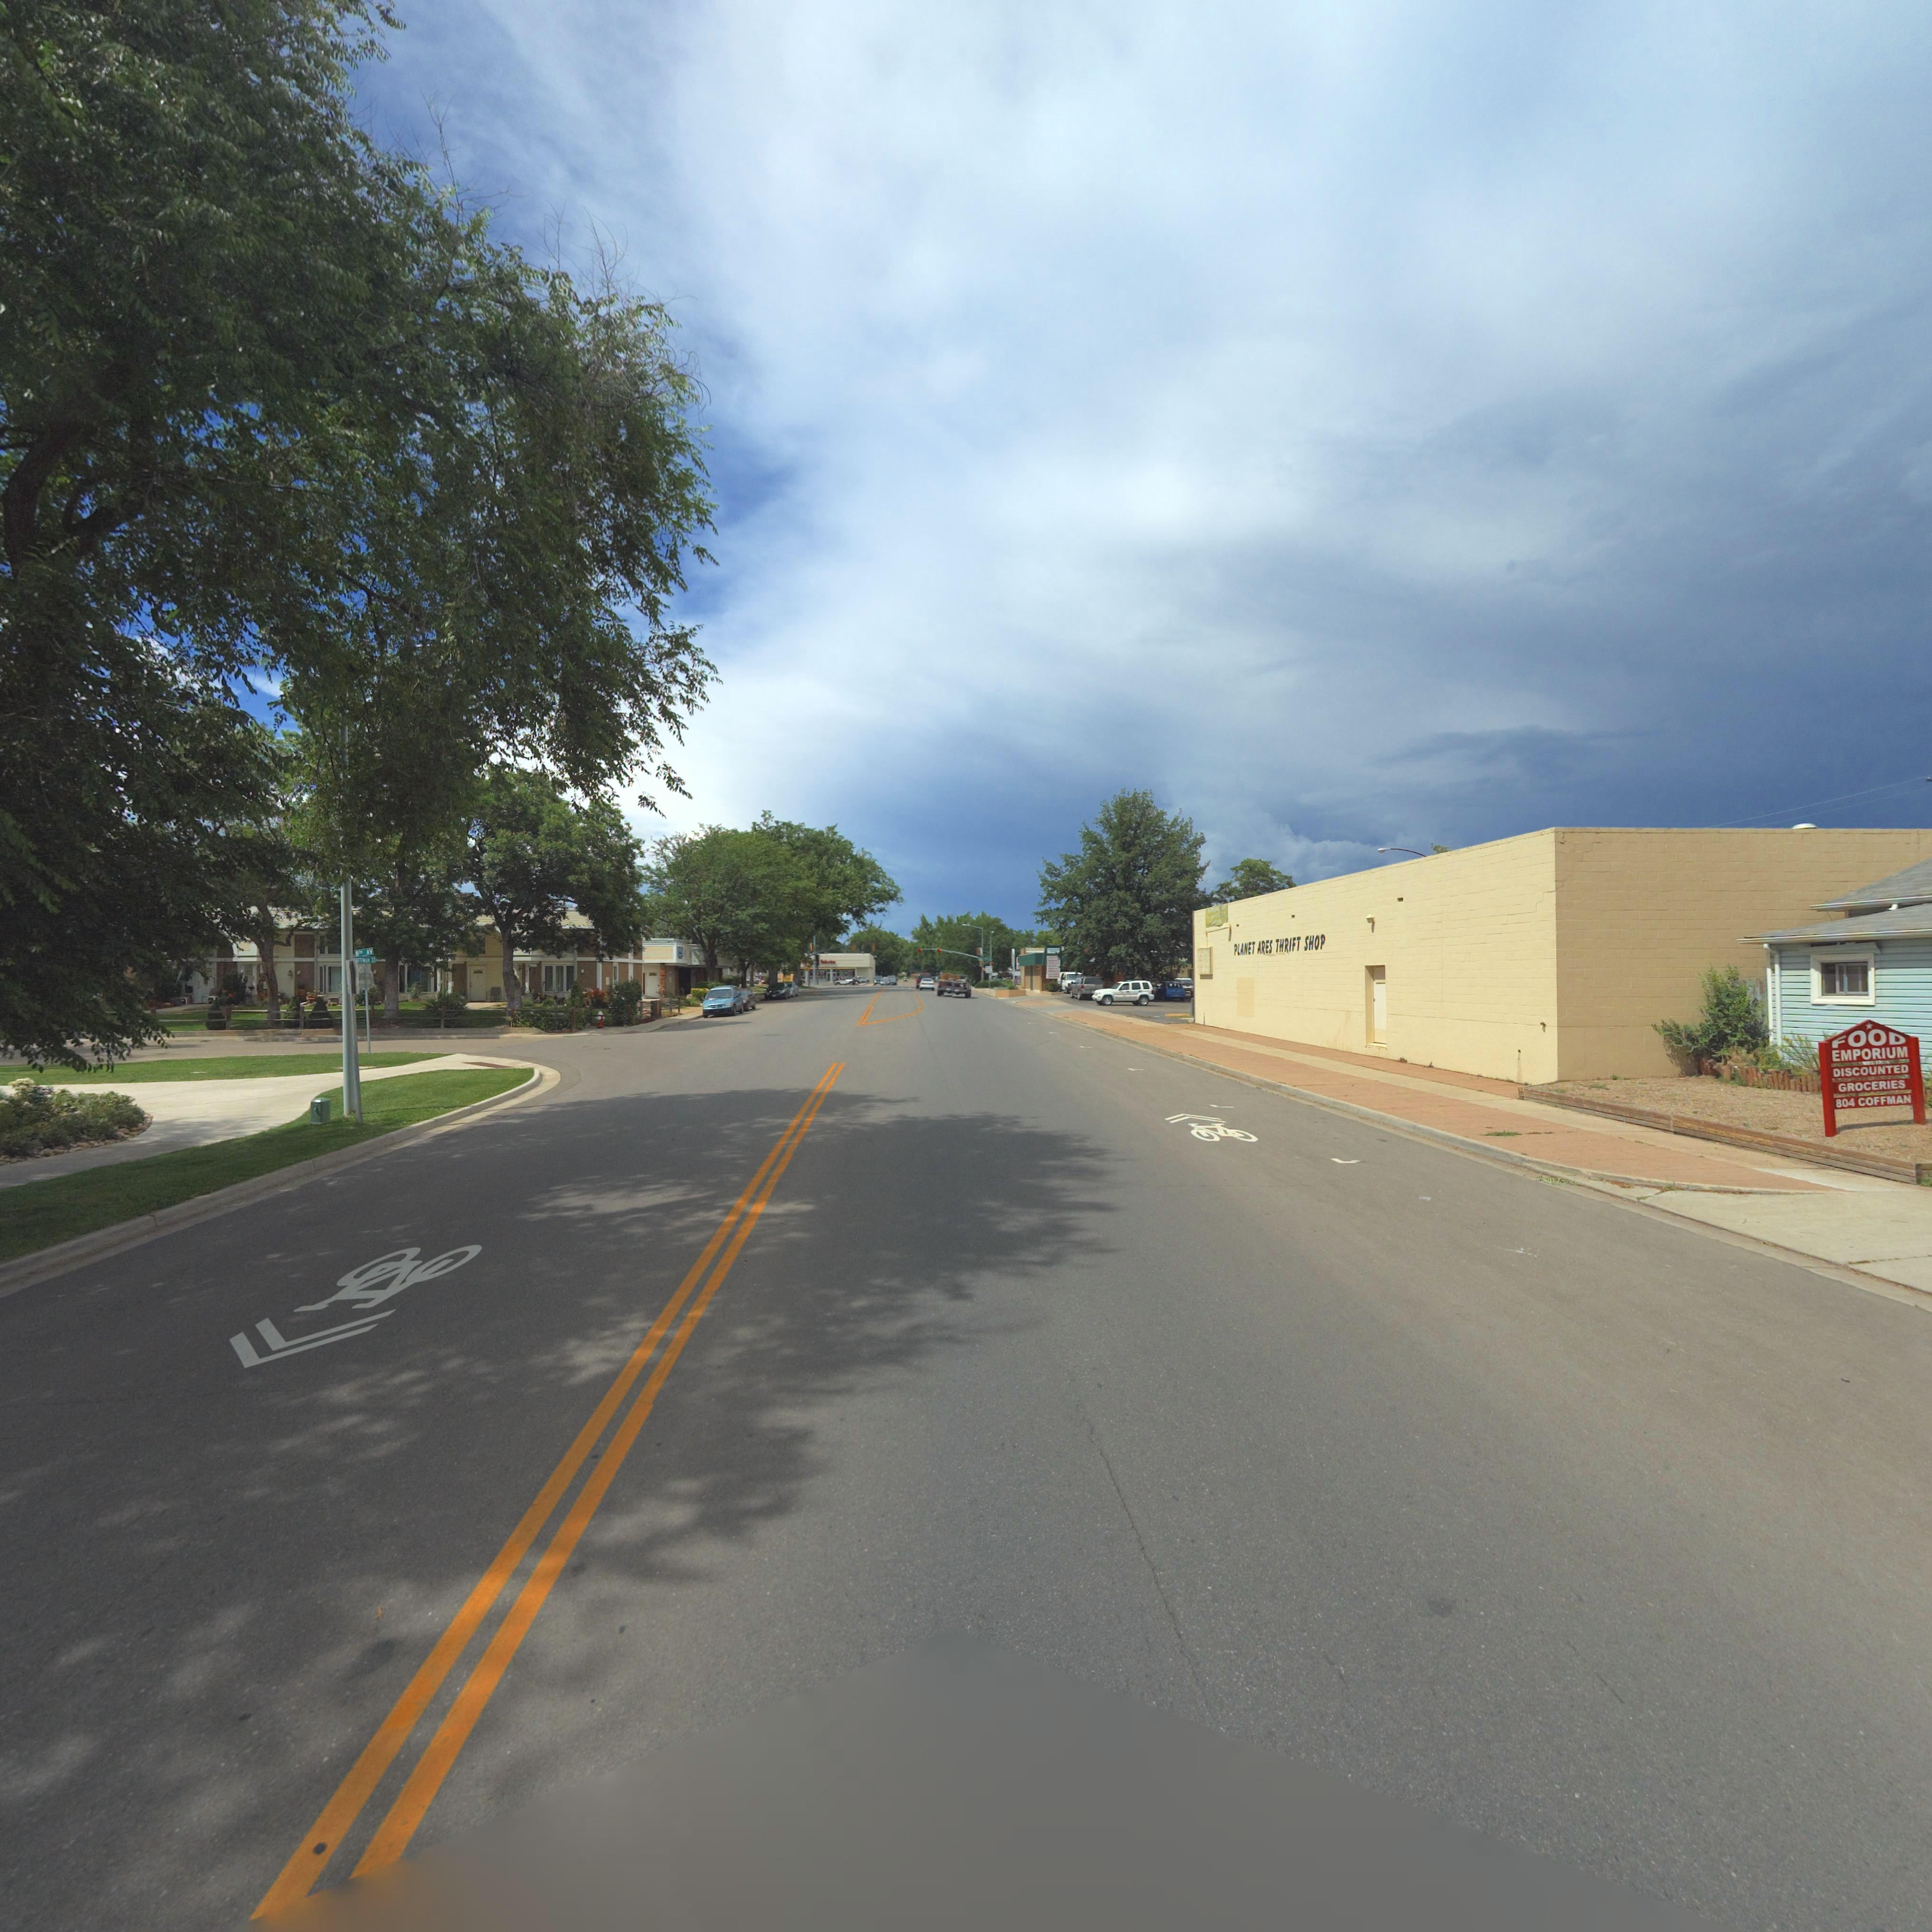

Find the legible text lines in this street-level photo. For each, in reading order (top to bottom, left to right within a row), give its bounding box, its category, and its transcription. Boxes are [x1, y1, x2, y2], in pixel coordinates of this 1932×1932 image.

[1233, 933, 1327, 957] BusinessName: PLANET ARES THRIFT SHOP
[355, 948, 373, 956] StreetName: 8TH AV
[355, 957, 376, 963] StreetName: *FFMAN ST
[820, 959, 836, 964] BusinessName: Fabrics
[1830, 1028, 1906, 1049] BusinessName: FOOD
[1831, 1044, 1909, 1063] BusinessName: EMPORIUM
[1835, 1097, 1855, 1109] StreetNumber: 804